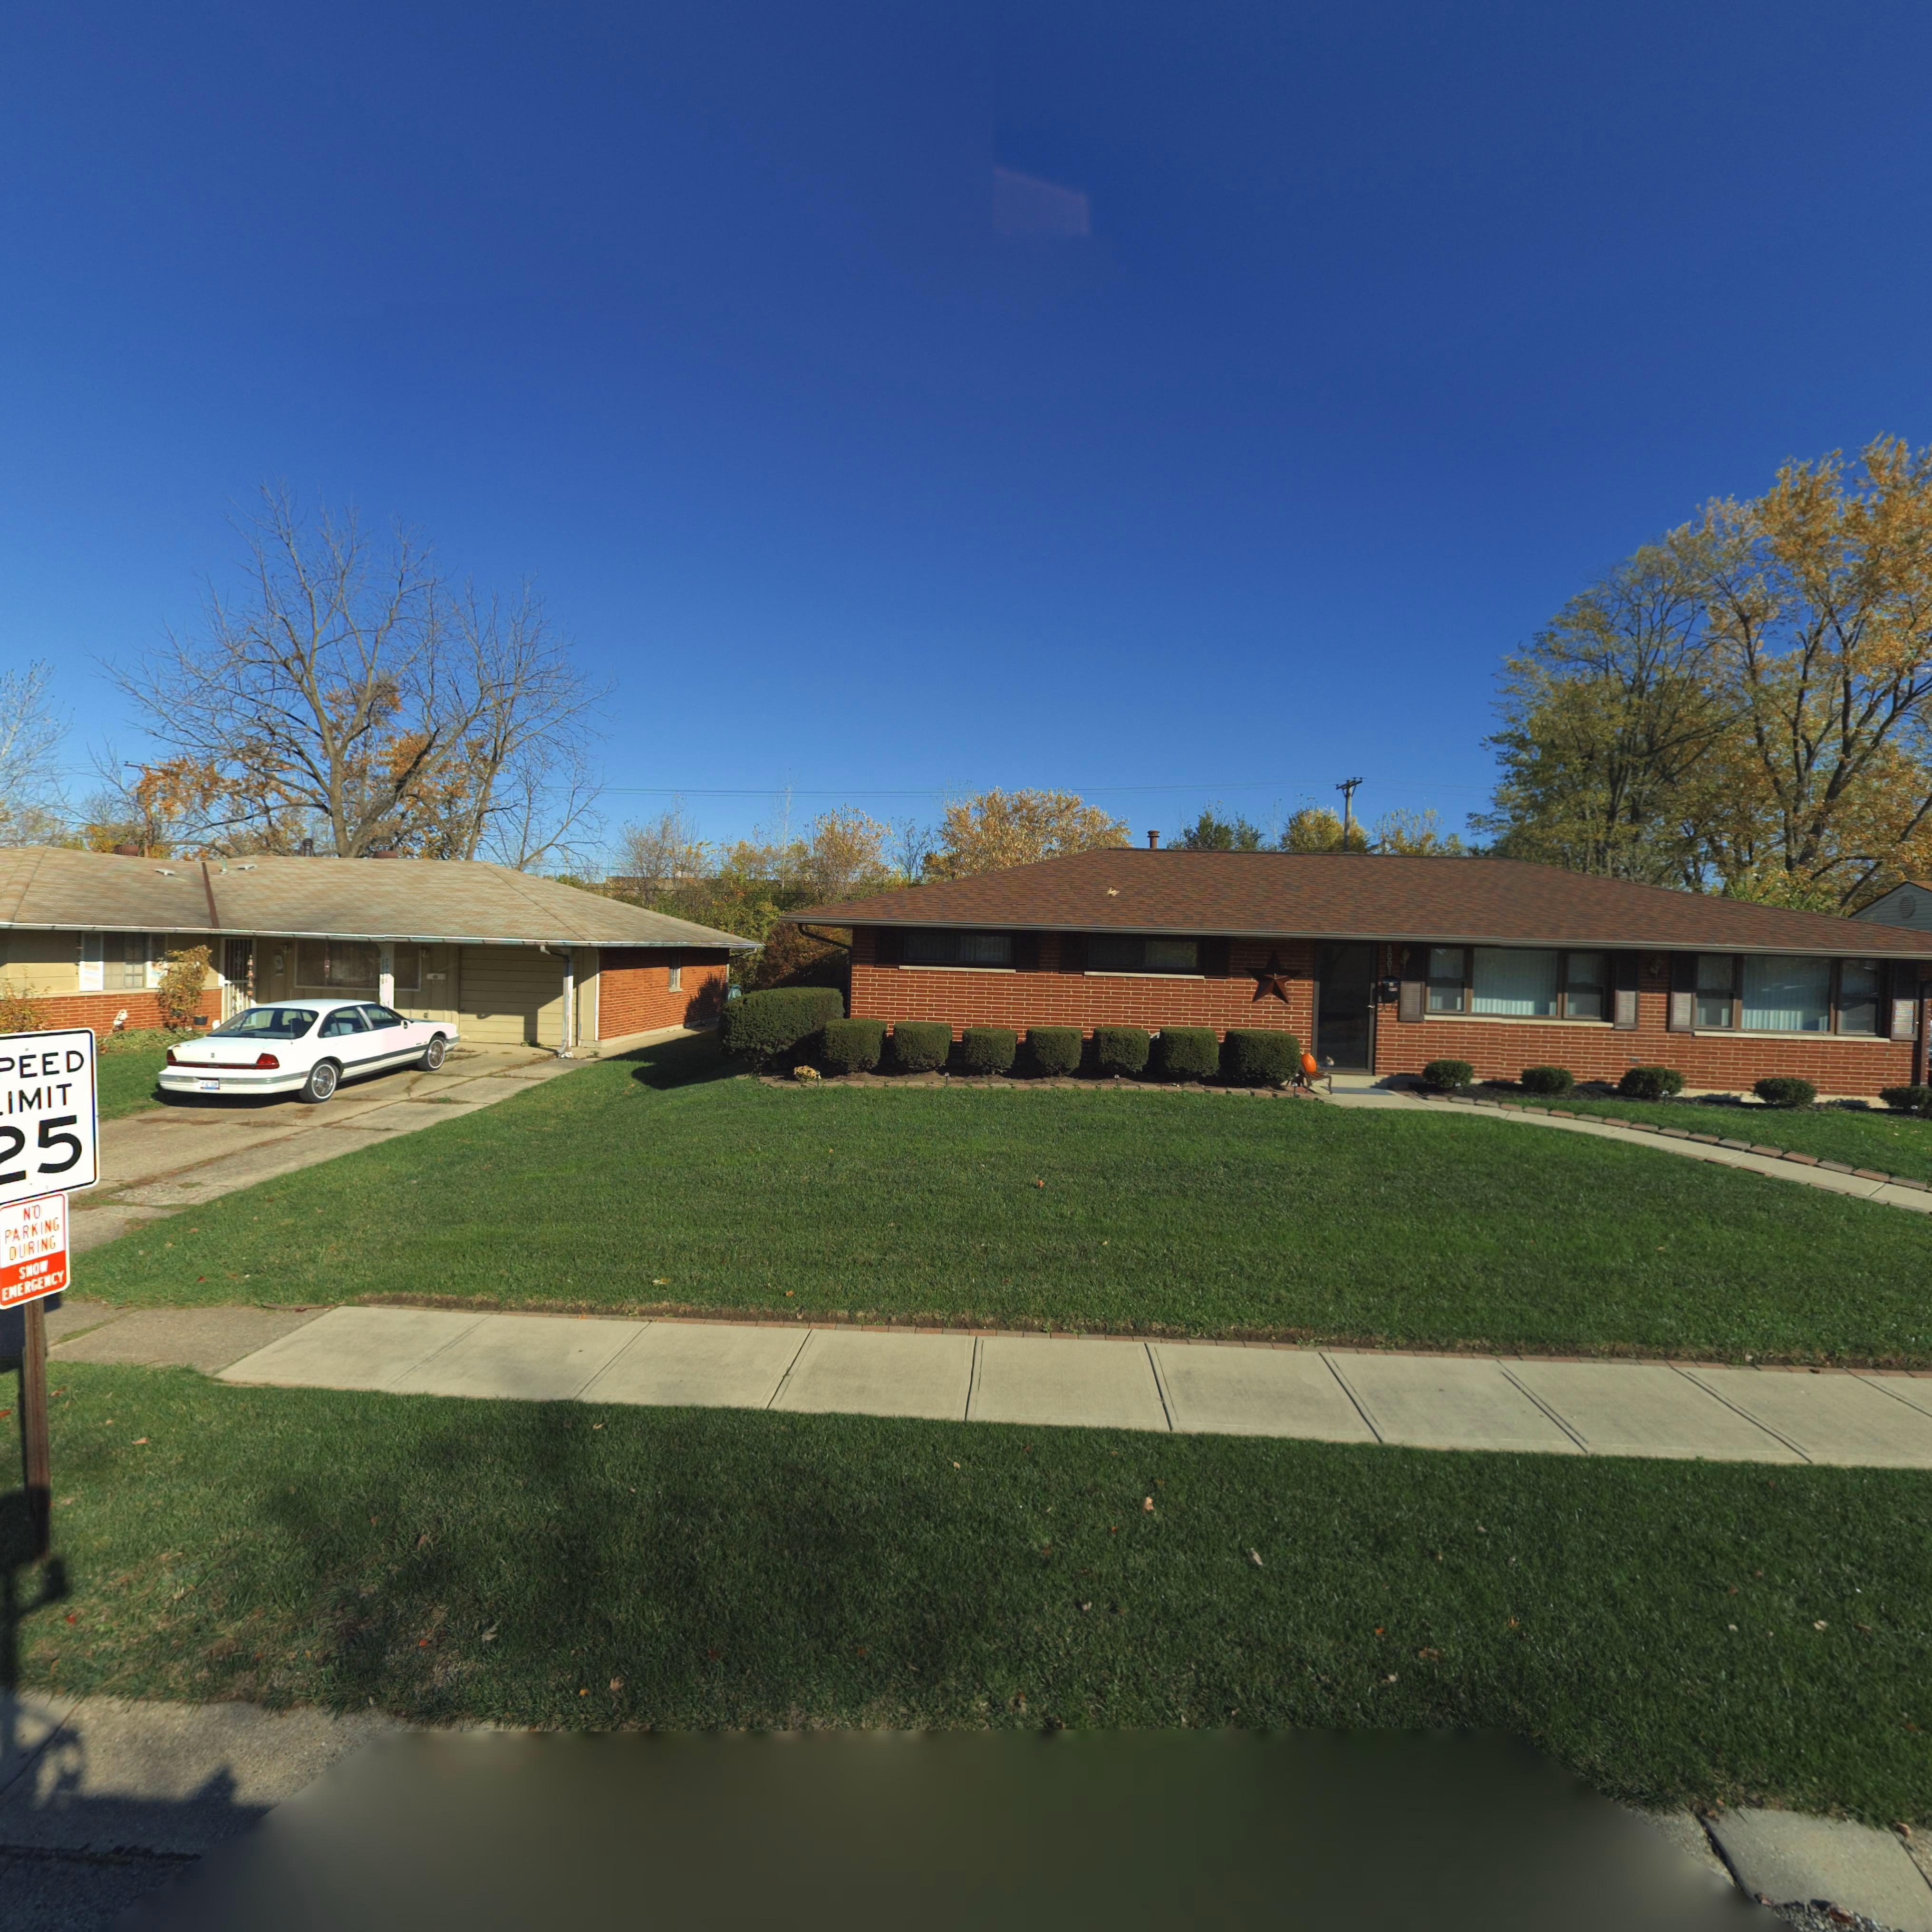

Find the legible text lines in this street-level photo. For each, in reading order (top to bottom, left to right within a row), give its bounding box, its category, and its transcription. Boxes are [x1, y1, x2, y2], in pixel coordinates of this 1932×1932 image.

[384, 957, 390, 985] StreetNumber: 79**
[1385, 944, 1394, 976] StreetNumber: 8001